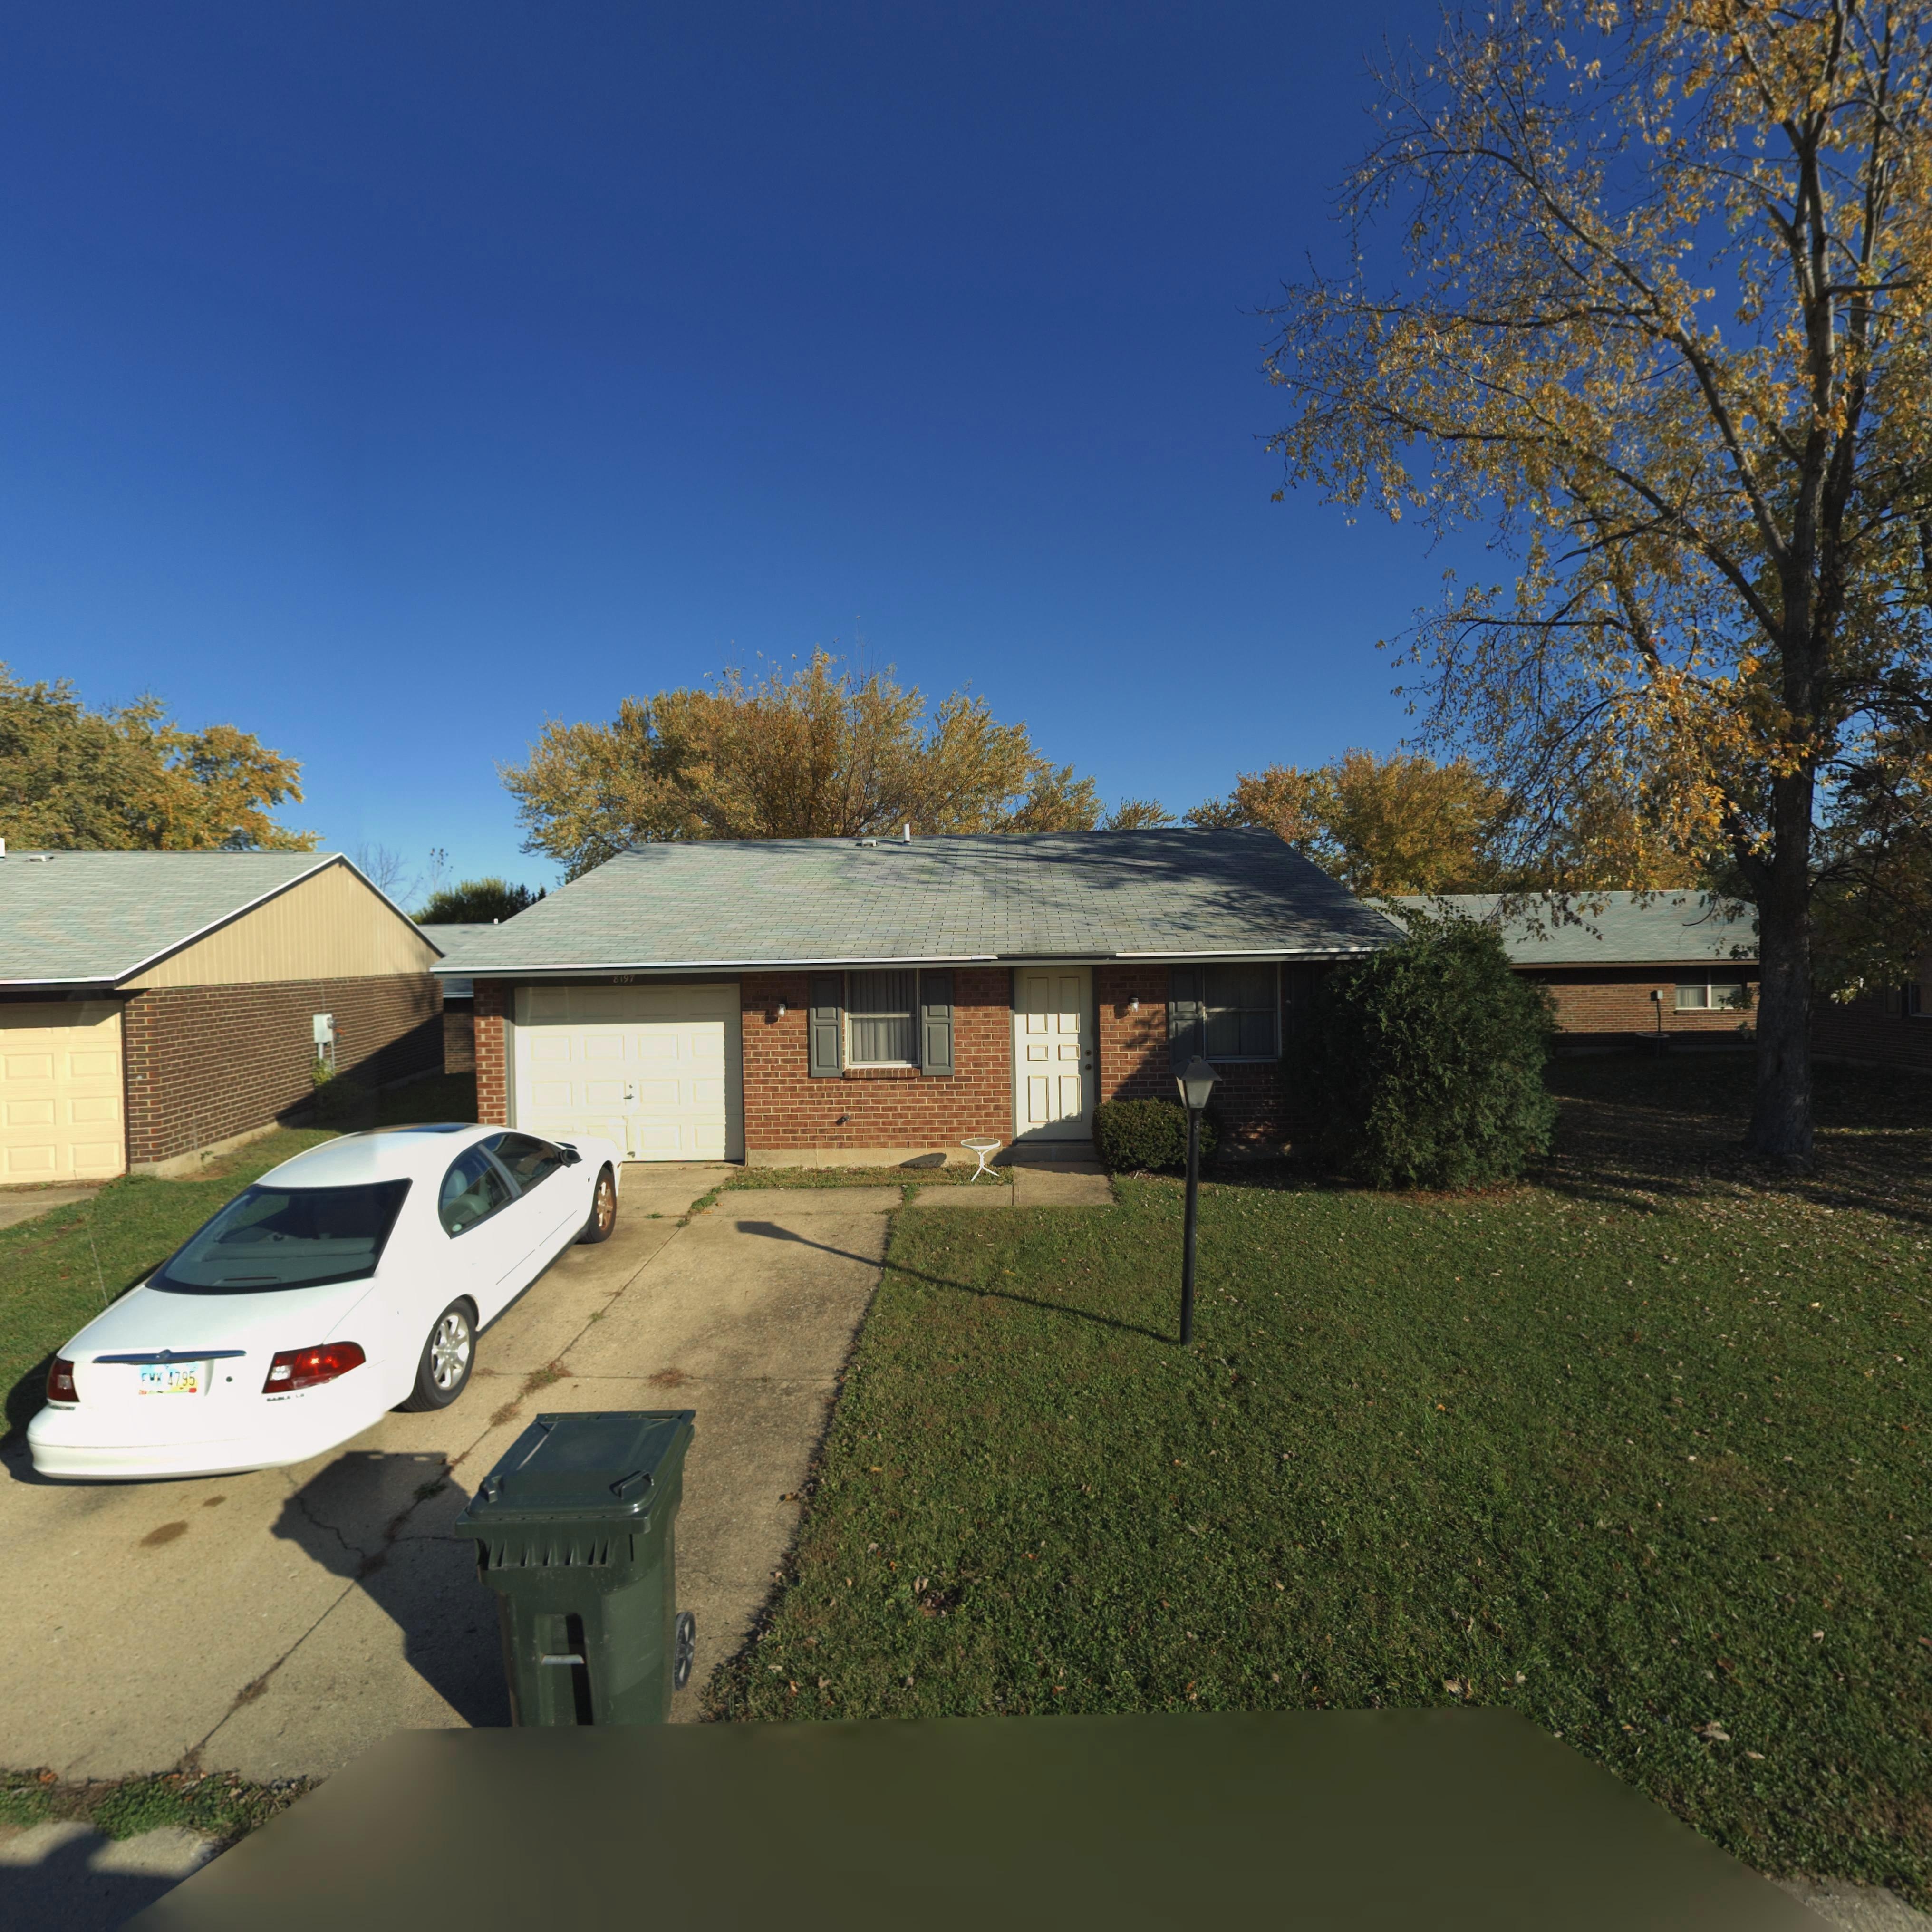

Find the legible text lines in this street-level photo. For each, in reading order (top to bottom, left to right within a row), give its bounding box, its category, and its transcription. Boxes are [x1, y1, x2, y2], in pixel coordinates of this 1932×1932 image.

[612, 975, 635, 983] StreetNumber: 8197